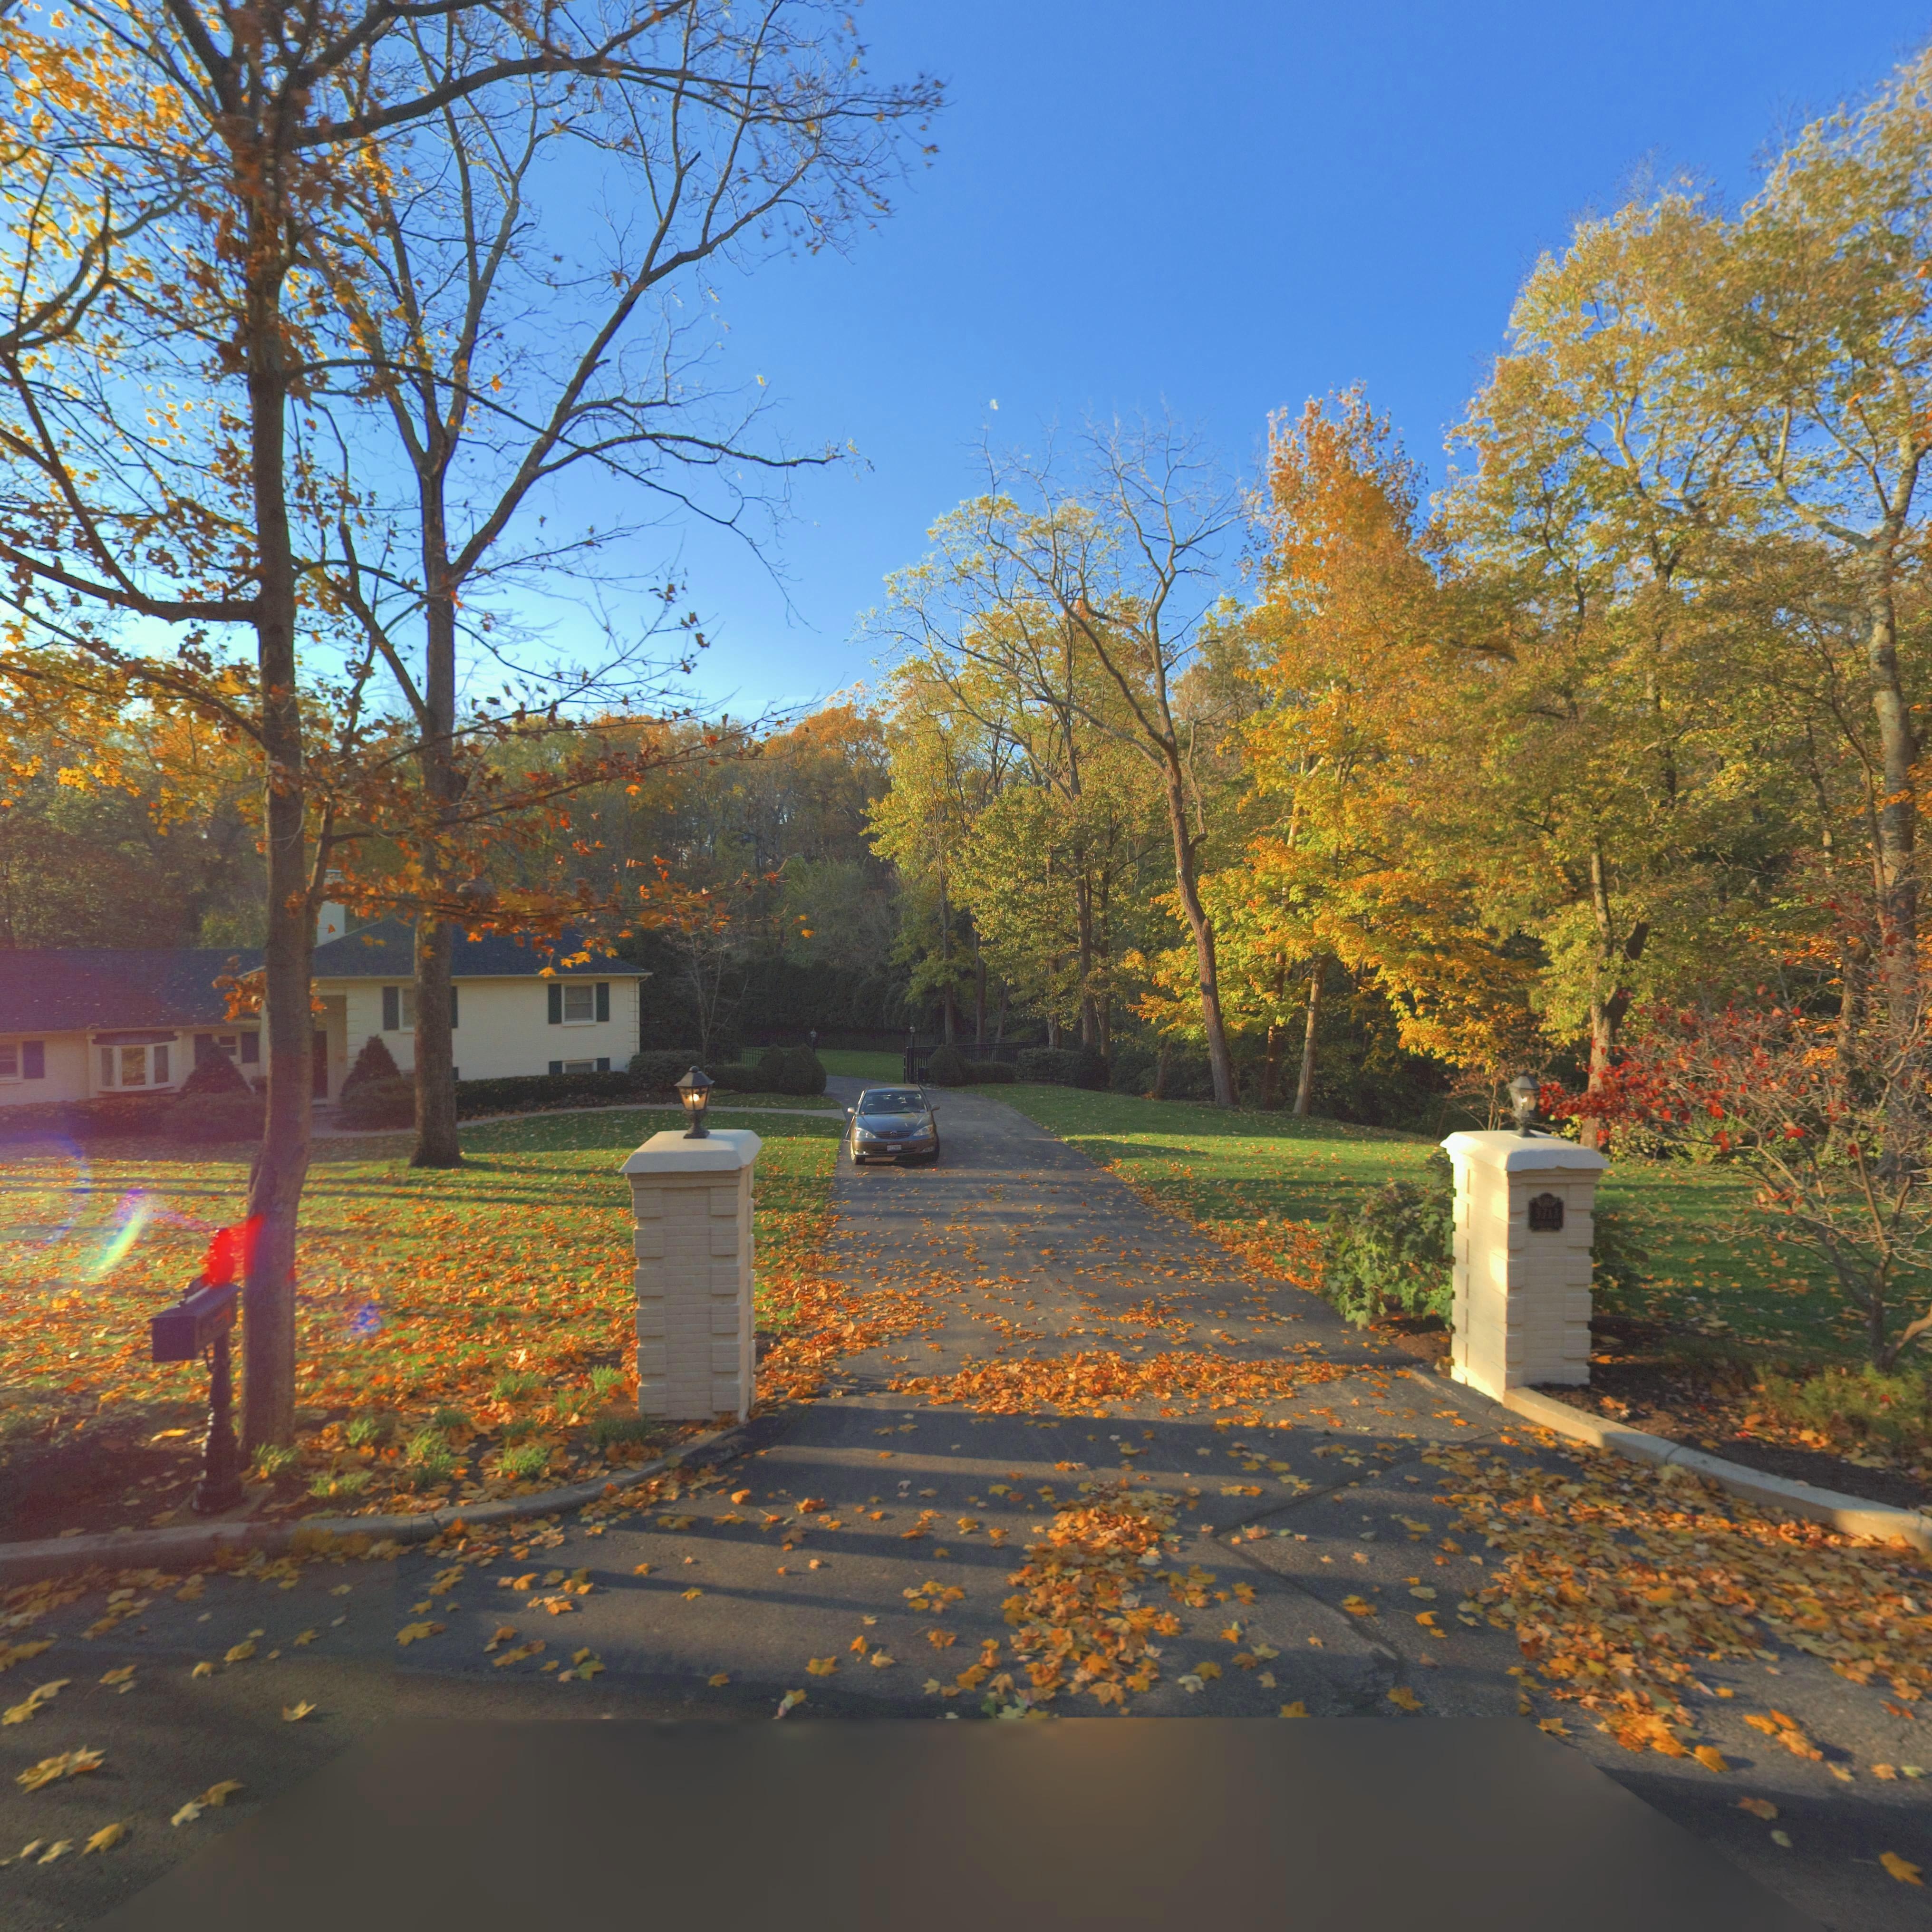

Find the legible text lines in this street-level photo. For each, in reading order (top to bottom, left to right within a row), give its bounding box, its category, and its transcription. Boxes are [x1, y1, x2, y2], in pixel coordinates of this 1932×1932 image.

[1535, 1207, 1559, 1219] StreetNumber: 3713